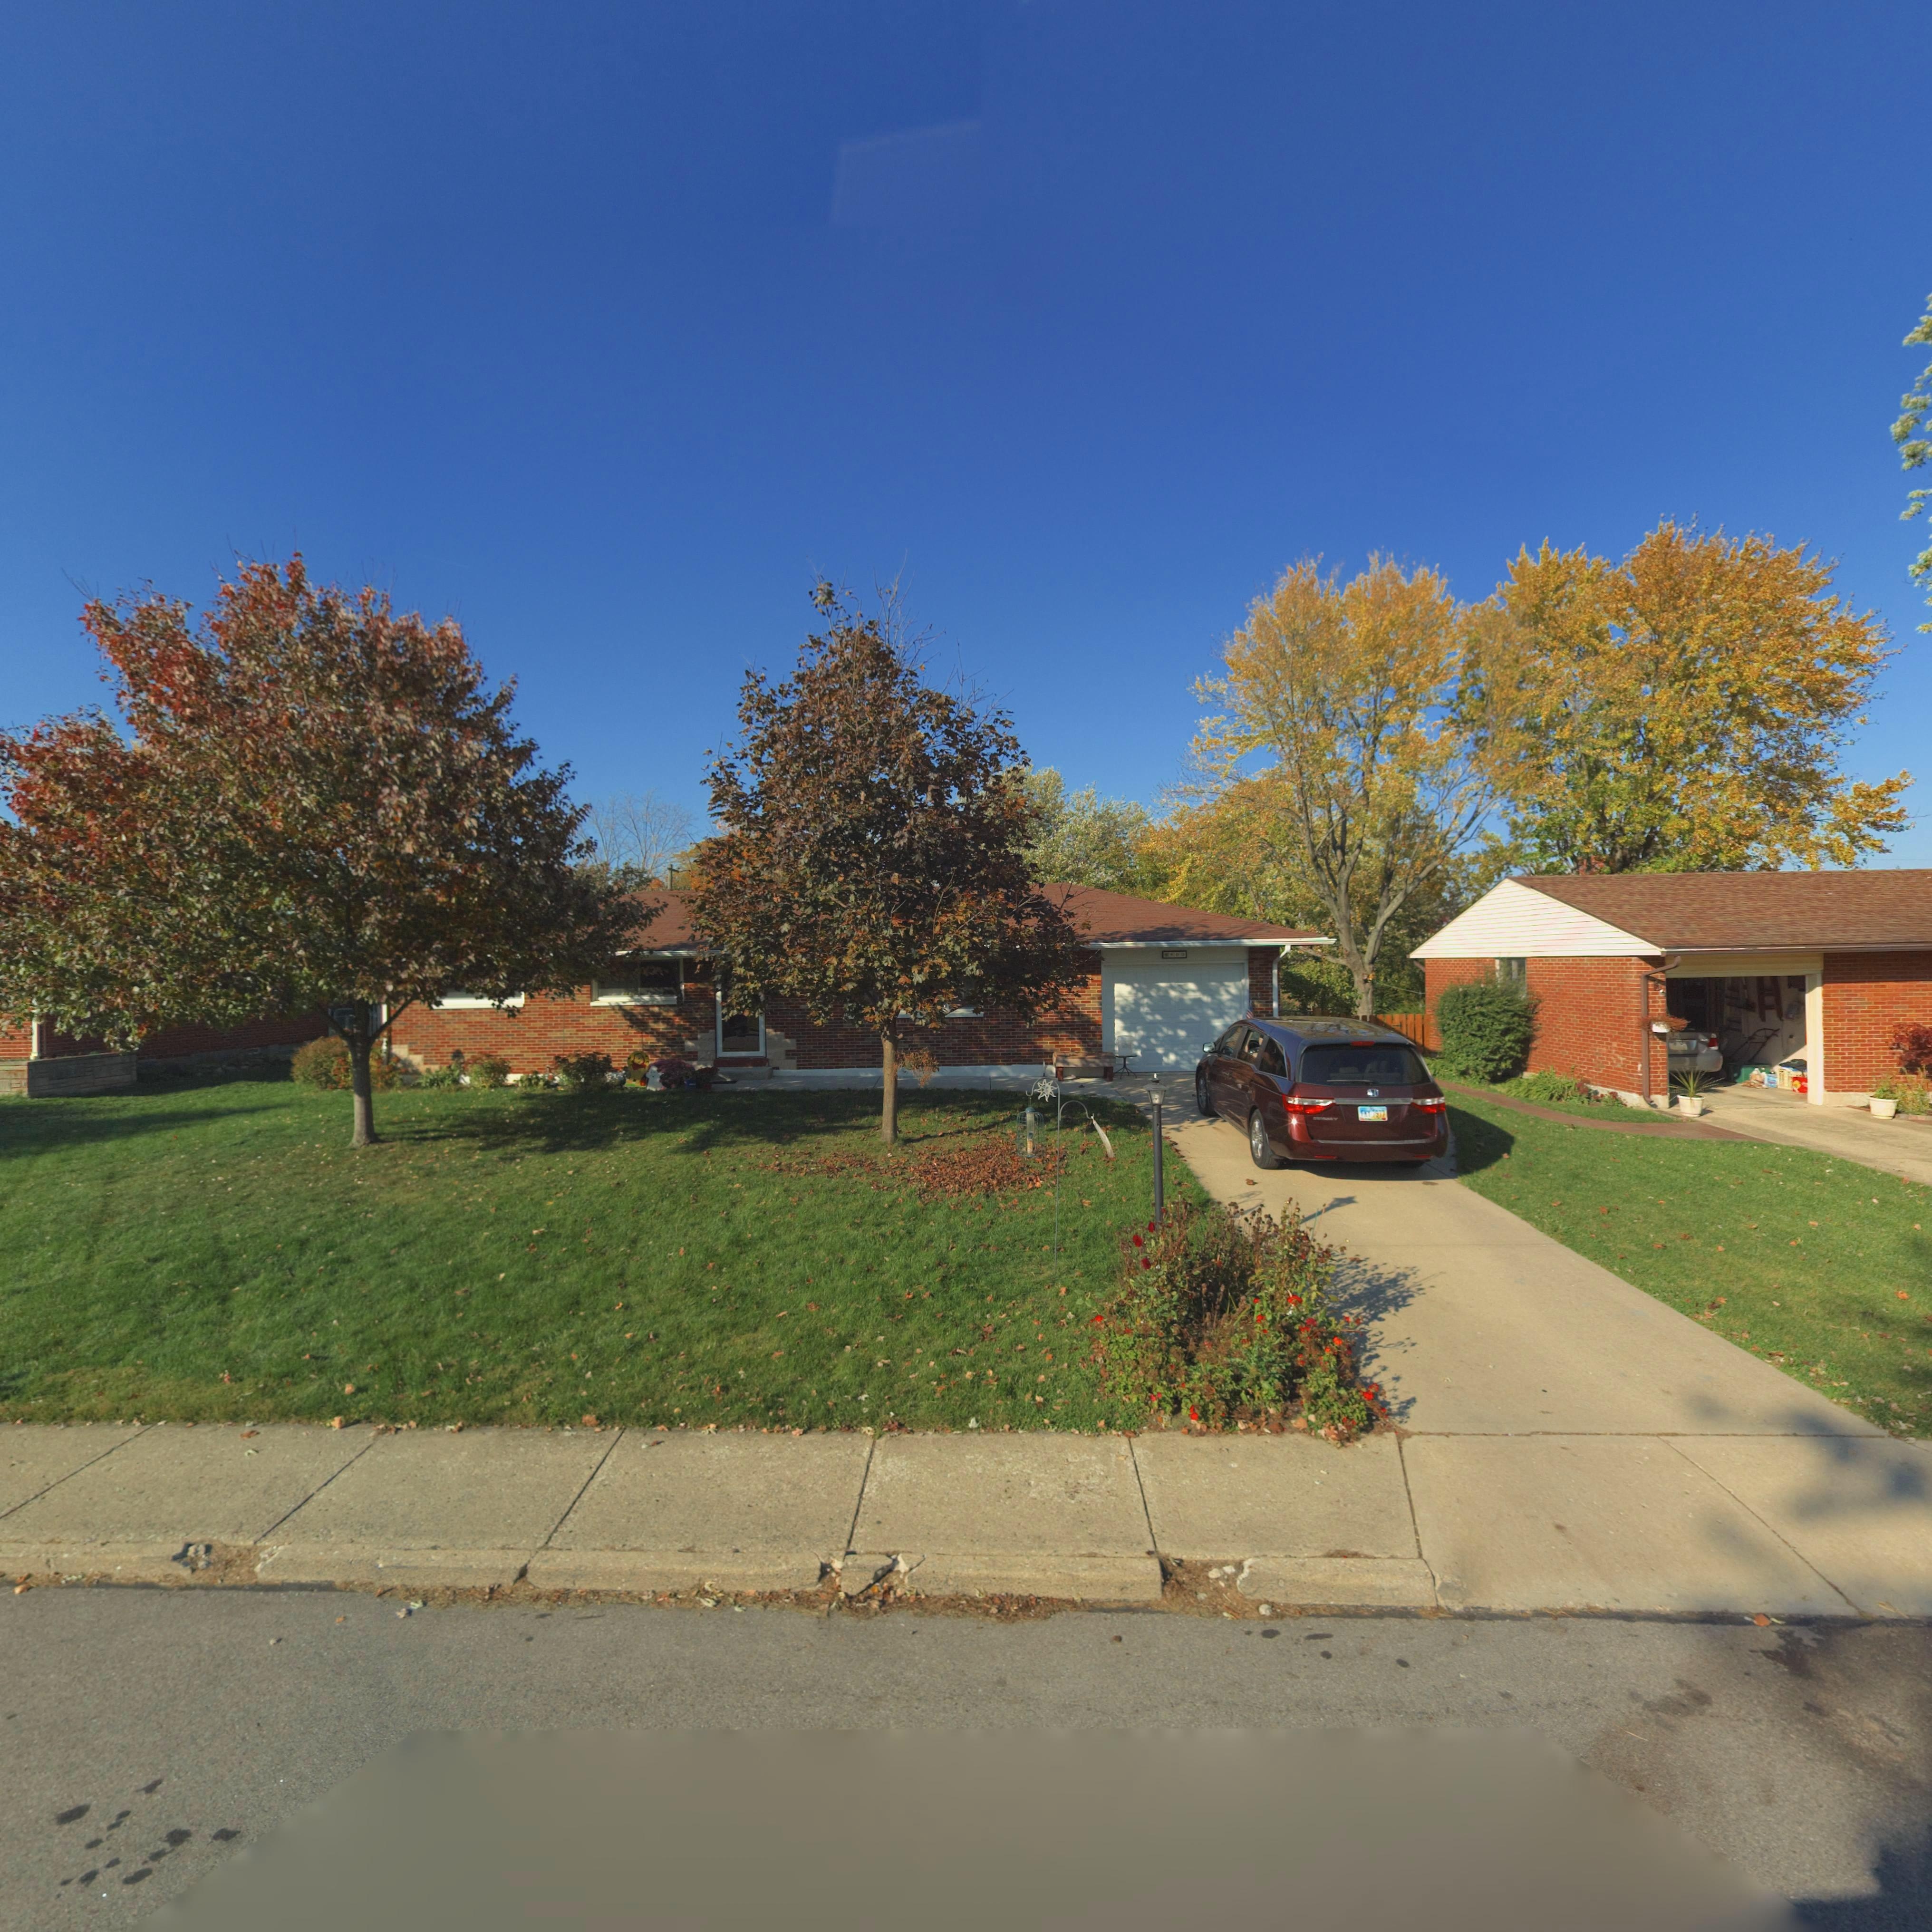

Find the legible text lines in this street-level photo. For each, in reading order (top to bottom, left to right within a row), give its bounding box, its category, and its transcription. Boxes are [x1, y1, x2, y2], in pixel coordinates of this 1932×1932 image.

[1169, 952, 1184, 957] StreetNumber: 809